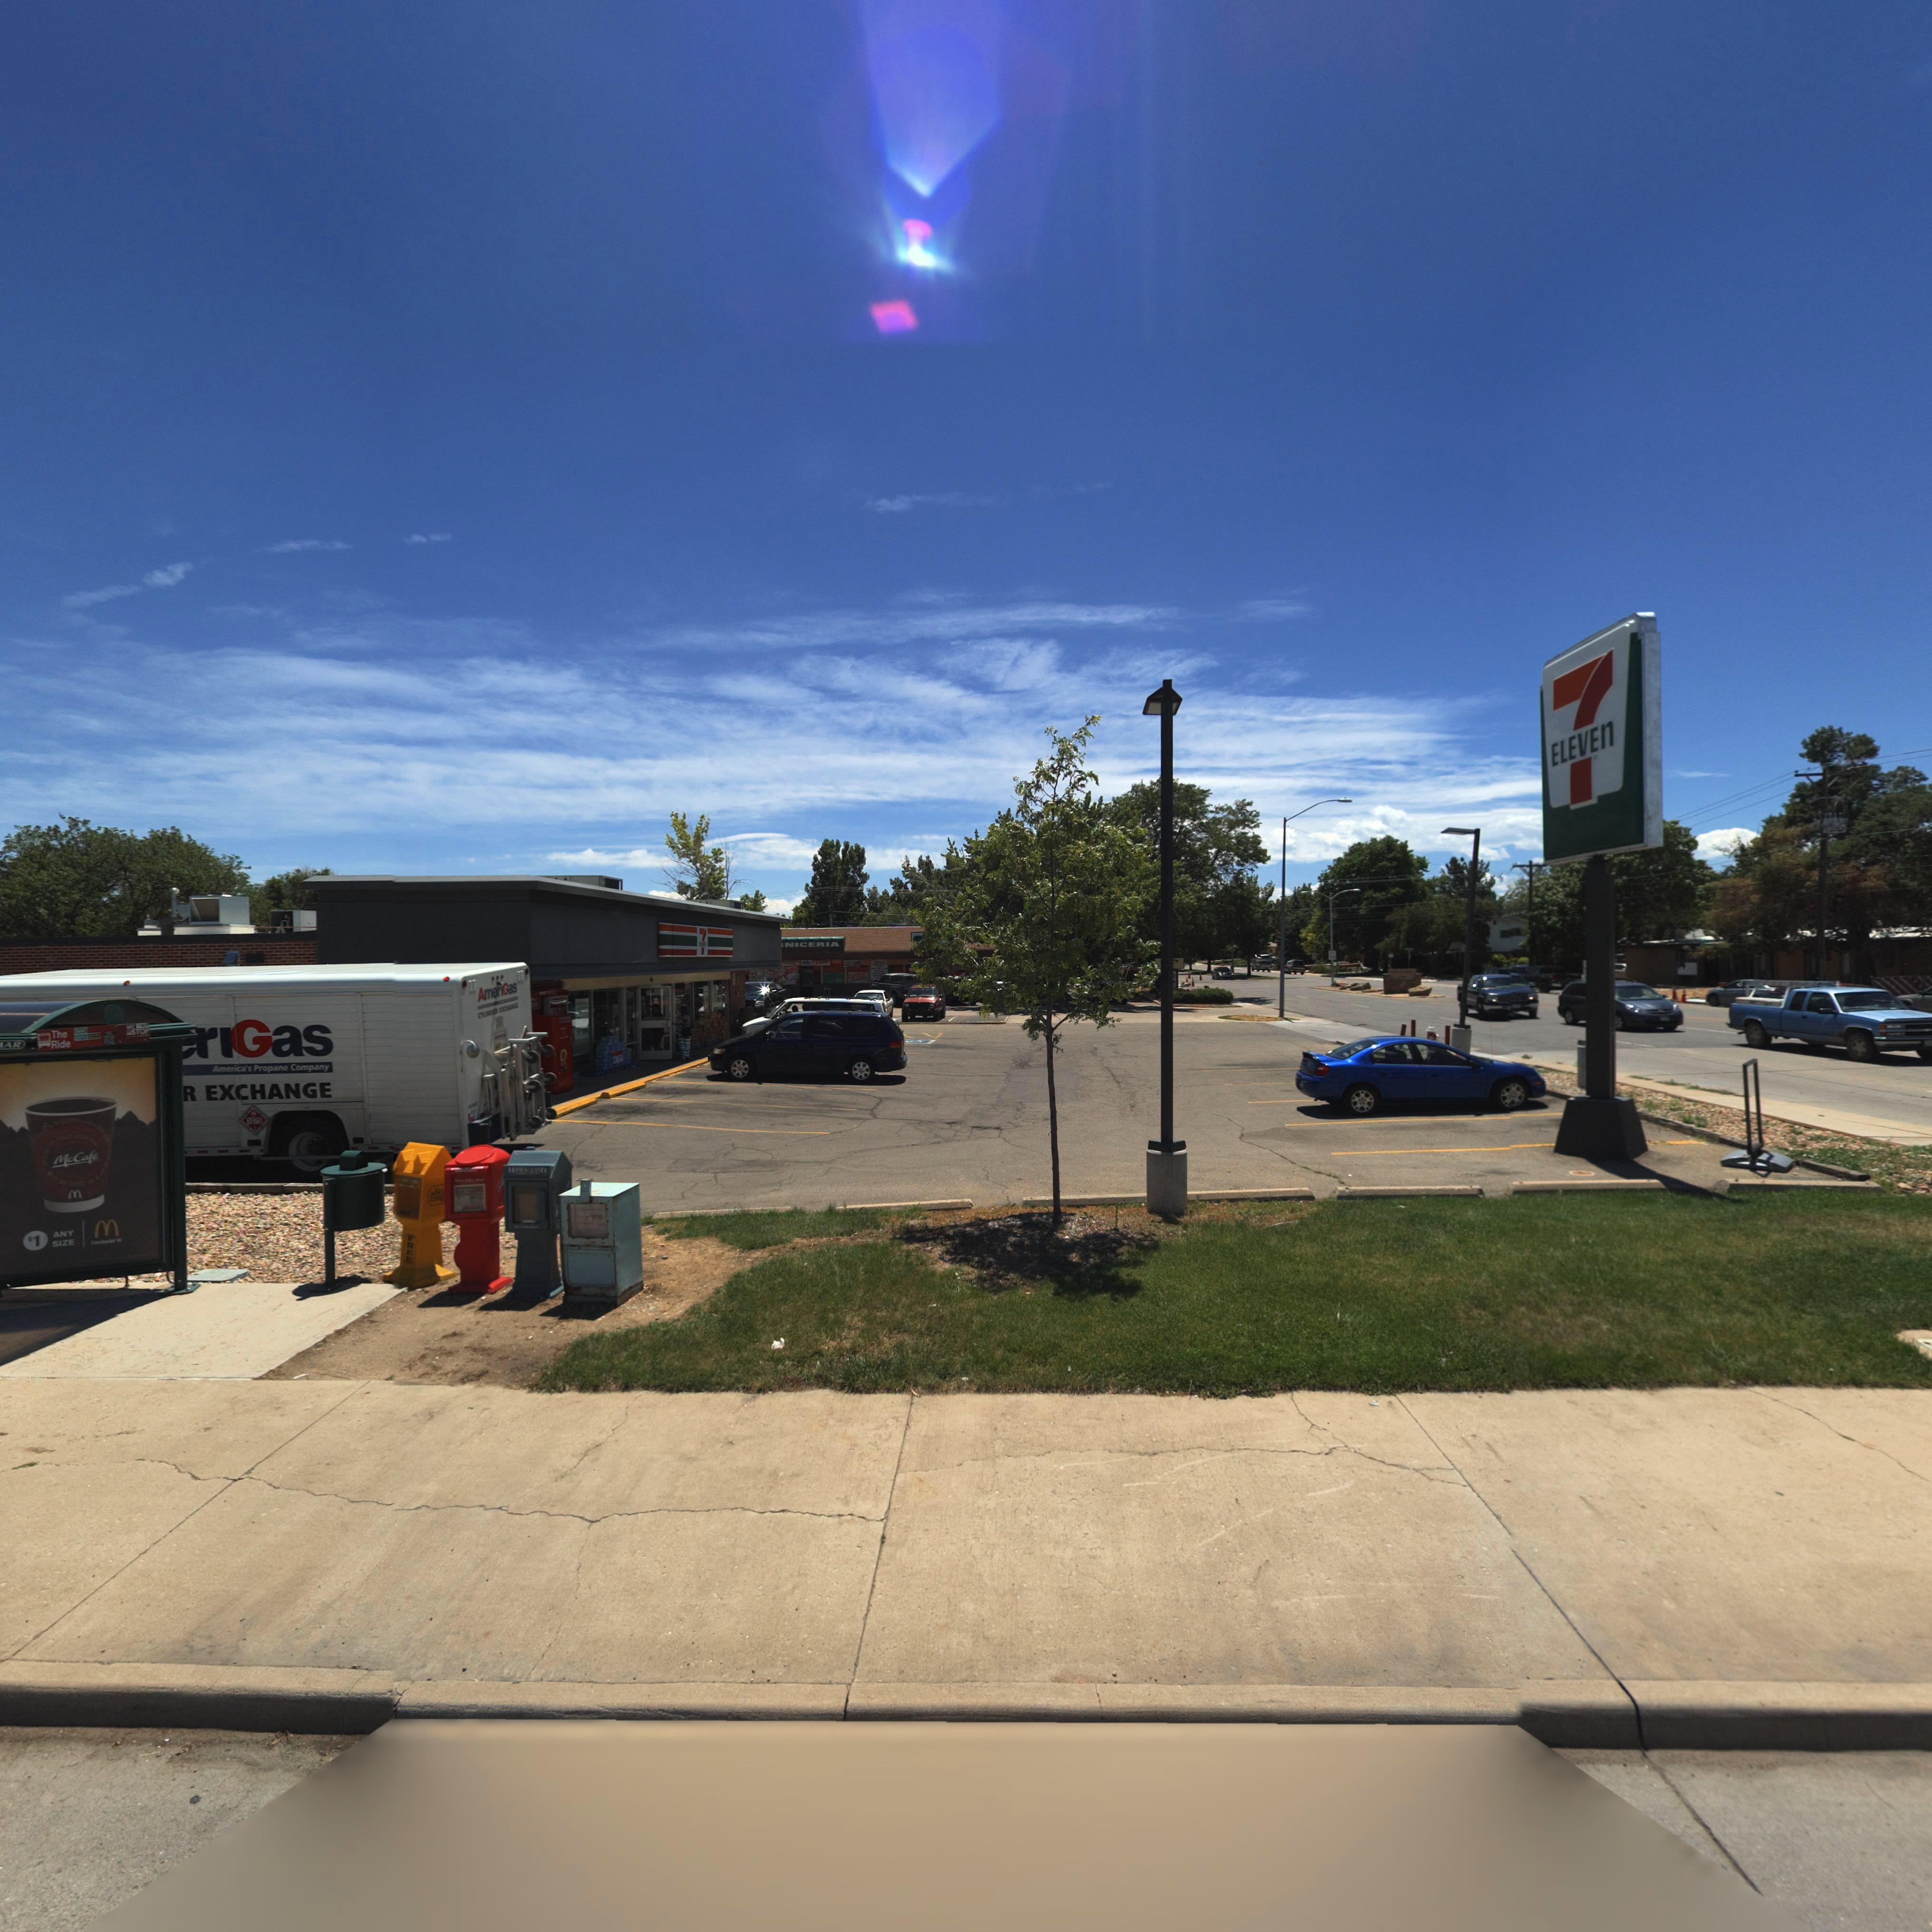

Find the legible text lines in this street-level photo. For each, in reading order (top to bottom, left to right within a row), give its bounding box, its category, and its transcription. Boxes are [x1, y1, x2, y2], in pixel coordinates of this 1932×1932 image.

[1550, 718, 1615, 767] BusinessName: ELEVEn
[1551, 646, 1615, 808] BusinessName: 7
[698, 927, 707, 955] BusinessName: 7